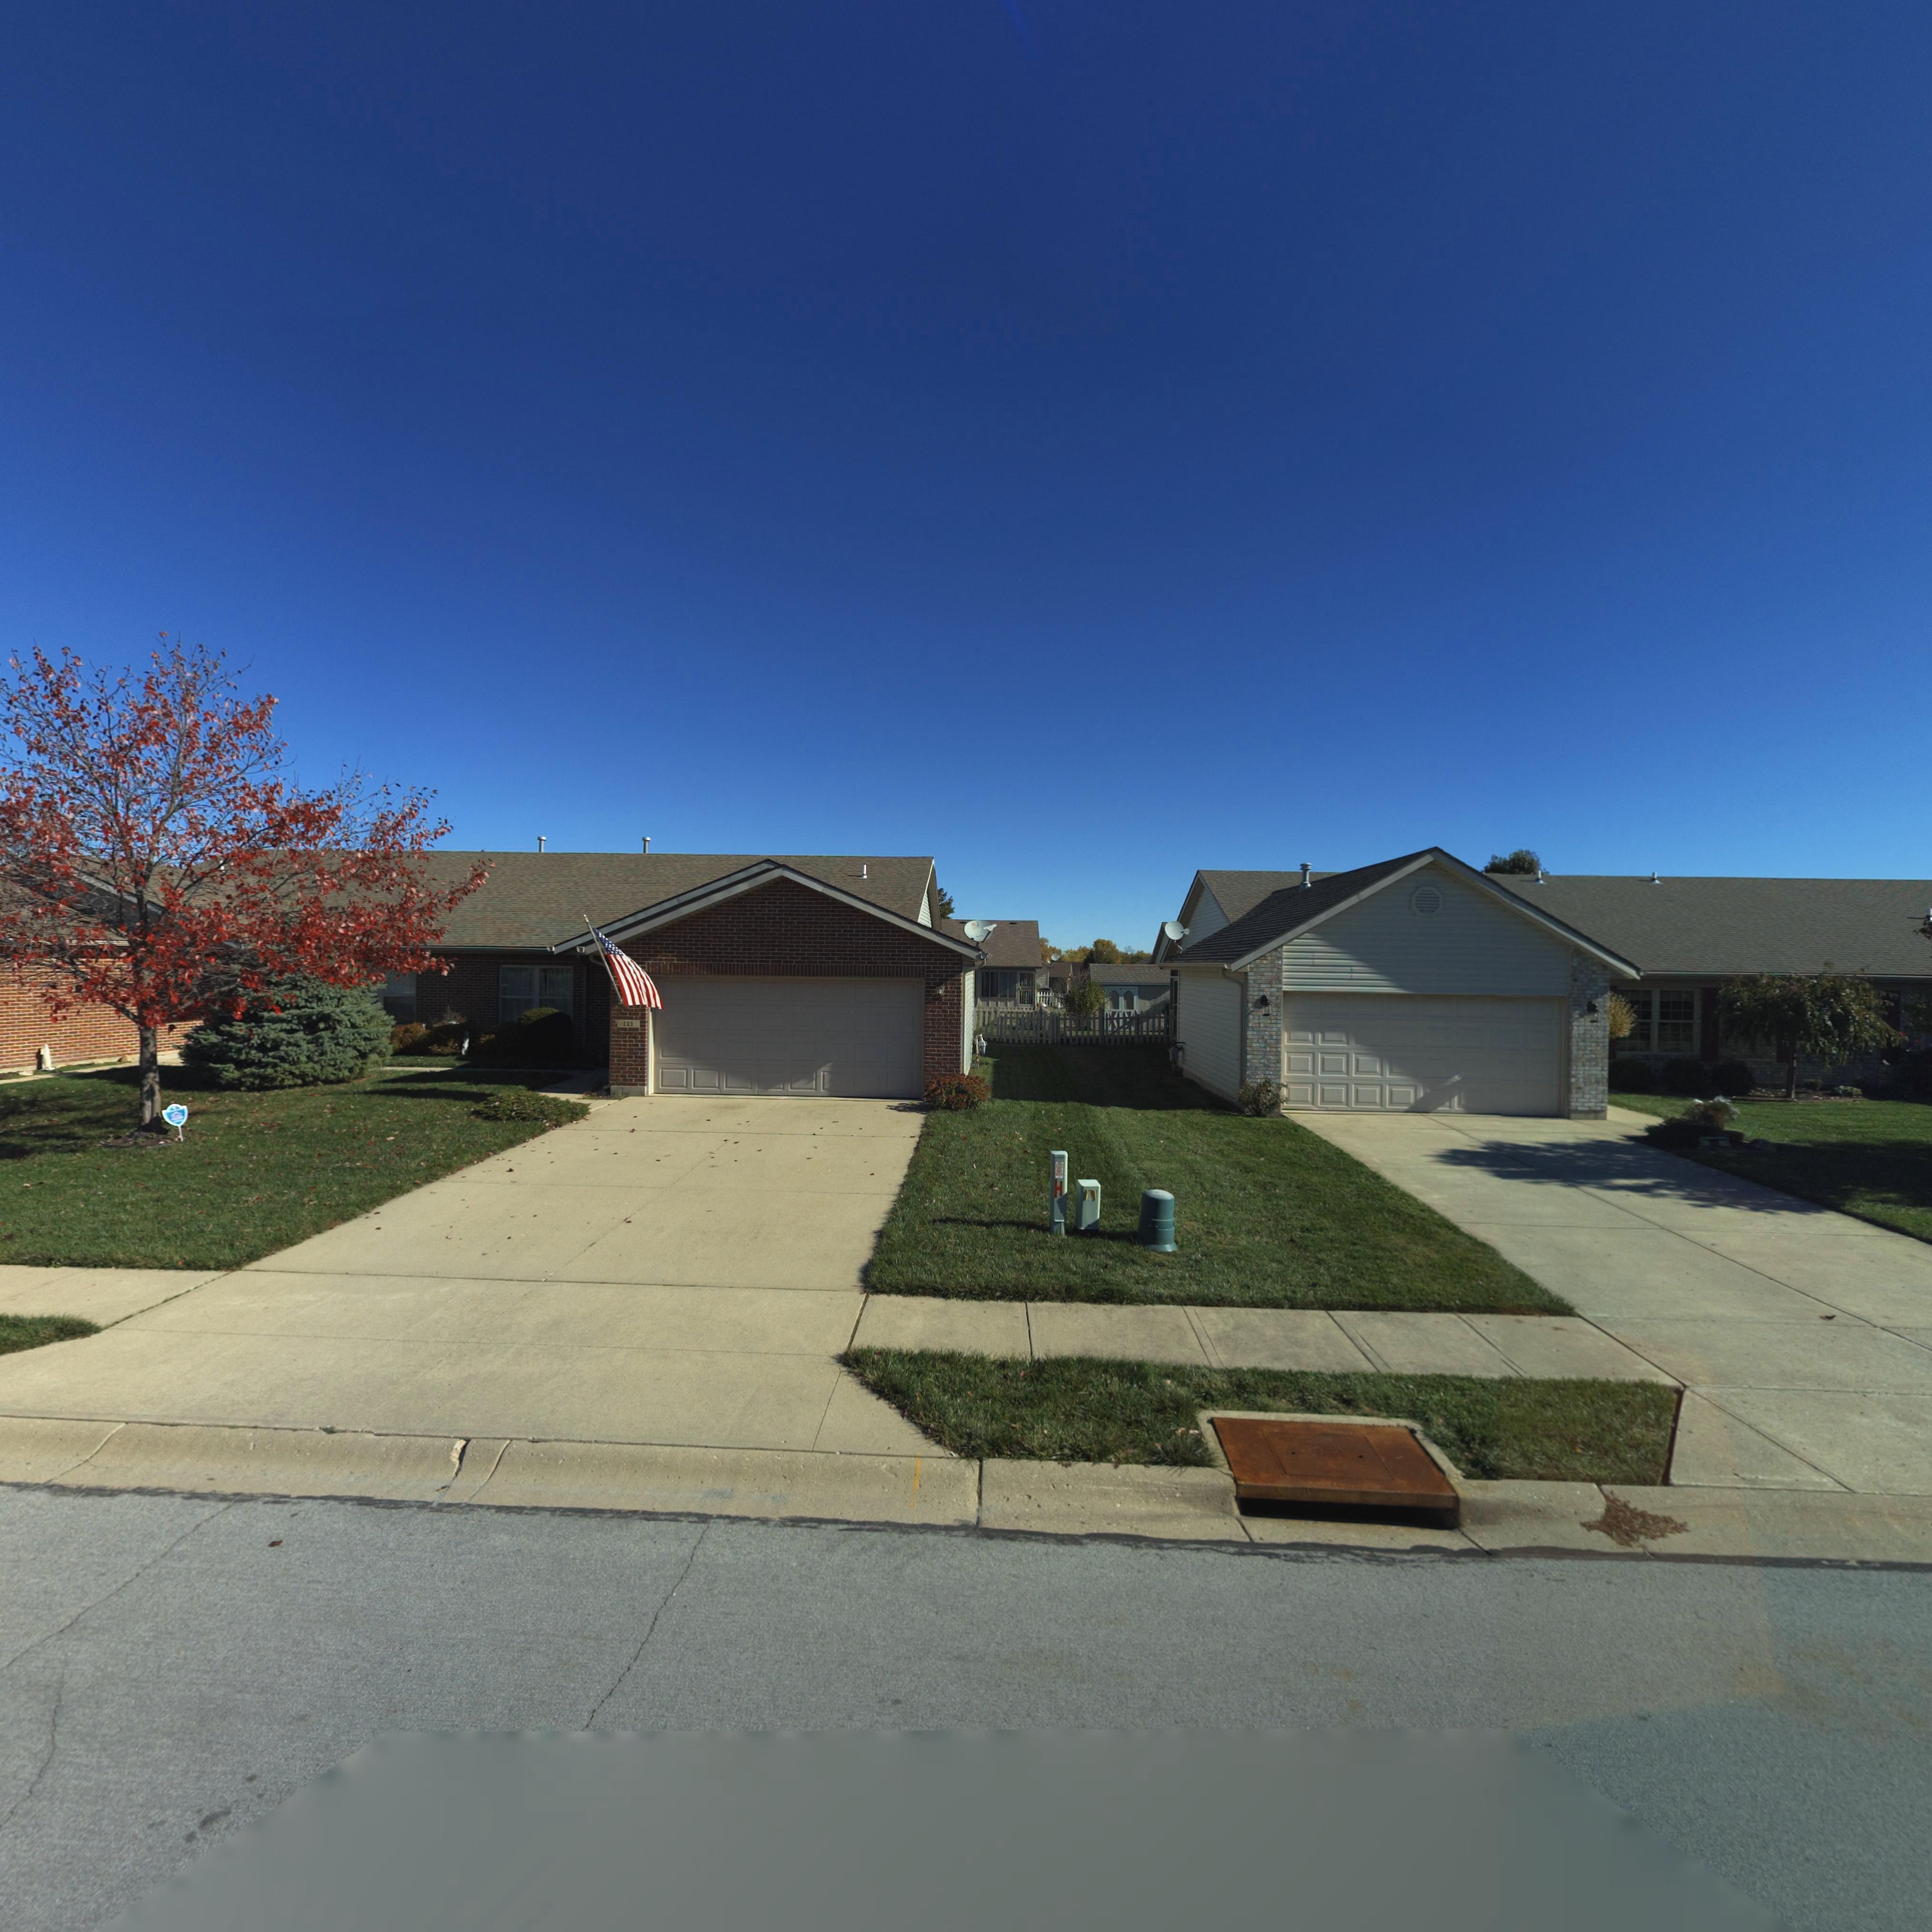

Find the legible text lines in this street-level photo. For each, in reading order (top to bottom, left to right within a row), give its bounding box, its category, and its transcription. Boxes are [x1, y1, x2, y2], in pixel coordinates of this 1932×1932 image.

[623, 1021, 634, 1026] StreetNumber: 111